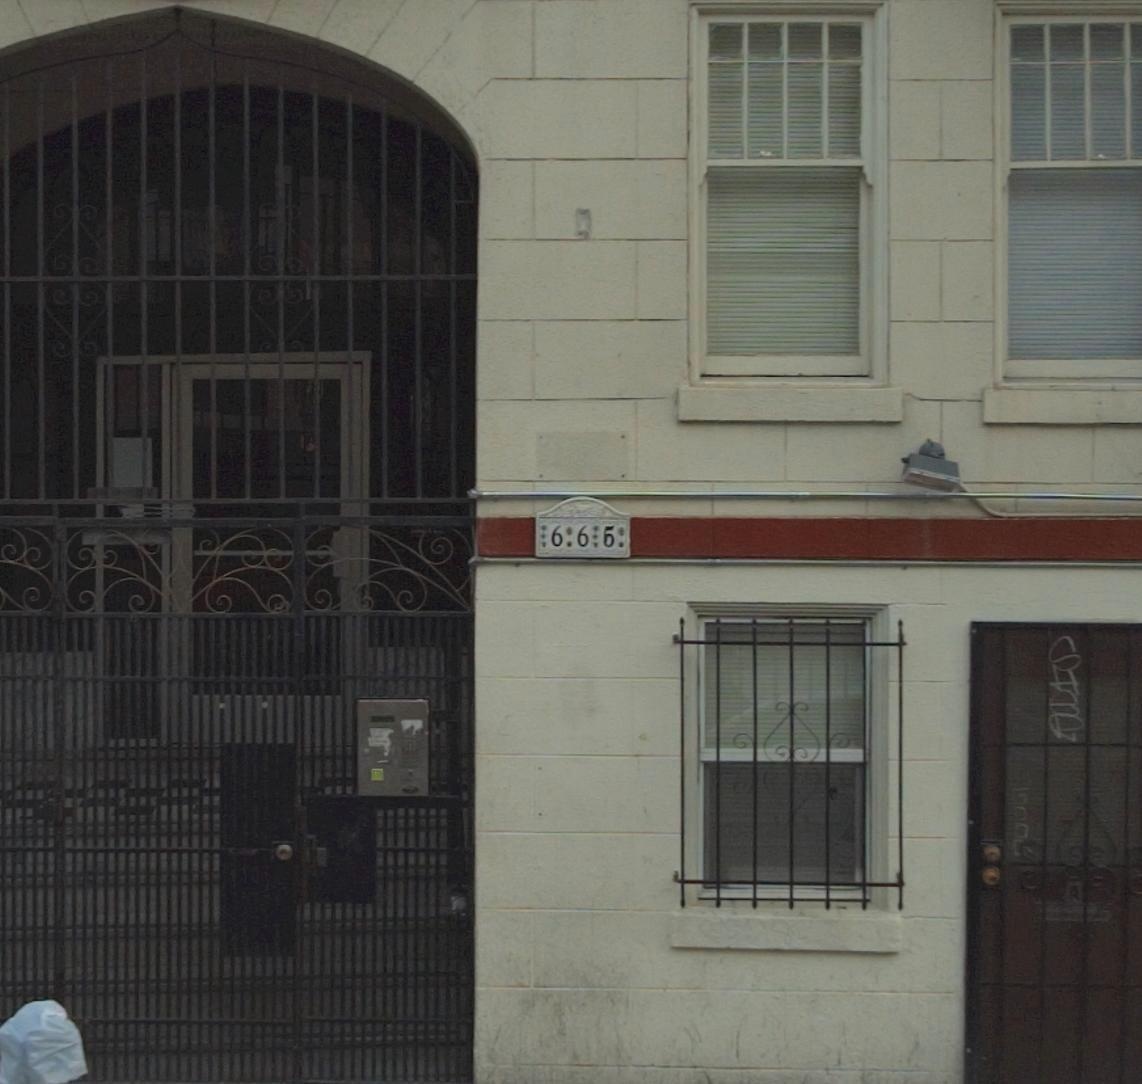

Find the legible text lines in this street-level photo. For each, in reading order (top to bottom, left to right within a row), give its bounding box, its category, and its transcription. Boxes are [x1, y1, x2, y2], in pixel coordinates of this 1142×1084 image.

[549, 524, 616, 549] StreetNumber: 665